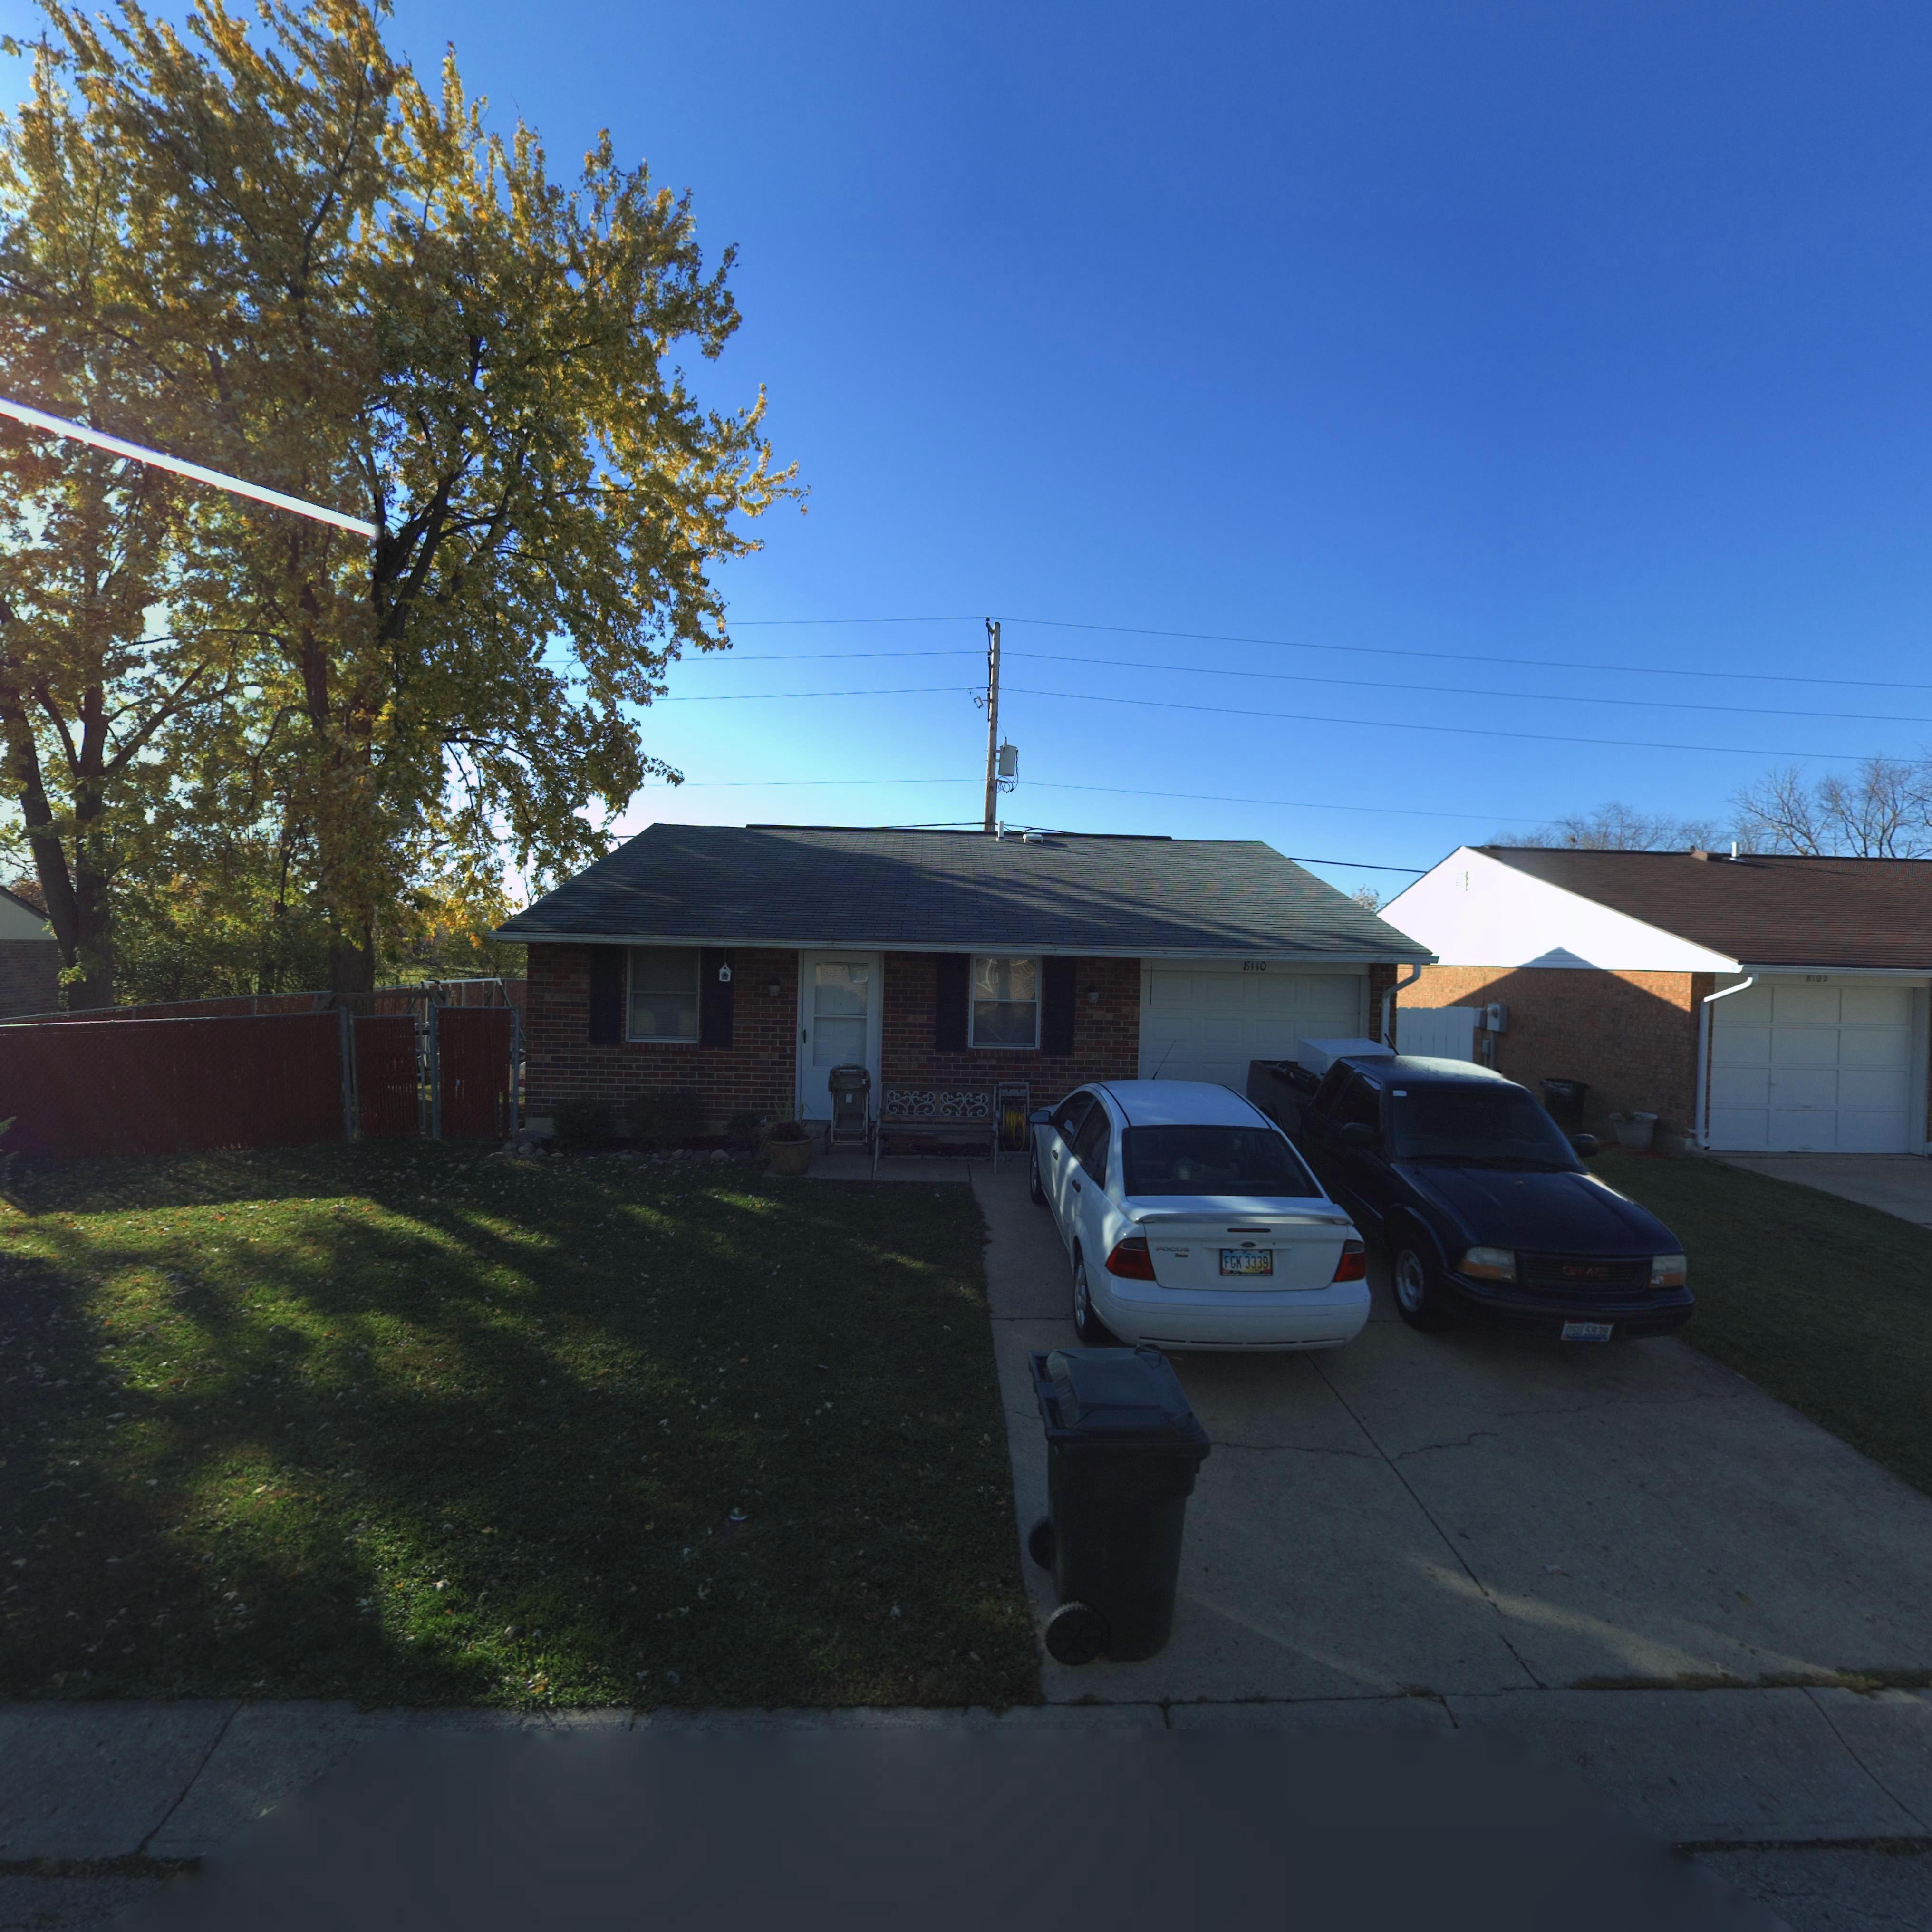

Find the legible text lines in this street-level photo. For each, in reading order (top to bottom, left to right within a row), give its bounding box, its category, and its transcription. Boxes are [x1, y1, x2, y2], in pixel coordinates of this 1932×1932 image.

[1242, 960, 1268, 972] StreetNumber: 8110
[1804, 974, 1829, 984] StreetNumber: 8102